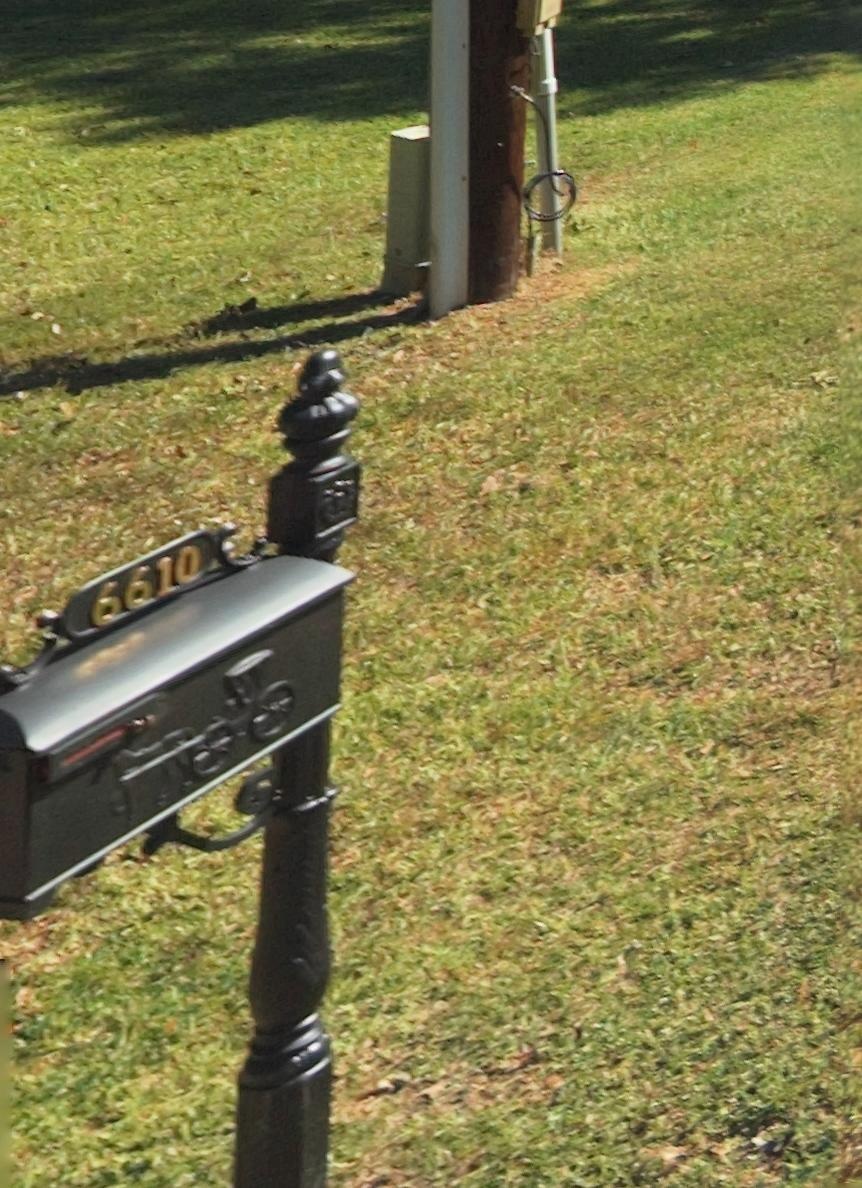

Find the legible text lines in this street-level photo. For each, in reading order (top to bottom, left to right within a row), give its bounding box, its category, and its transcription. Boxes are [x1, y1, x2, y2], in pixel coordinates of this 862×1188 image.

[82, 535, 208, 636] StreetNumber: 6610